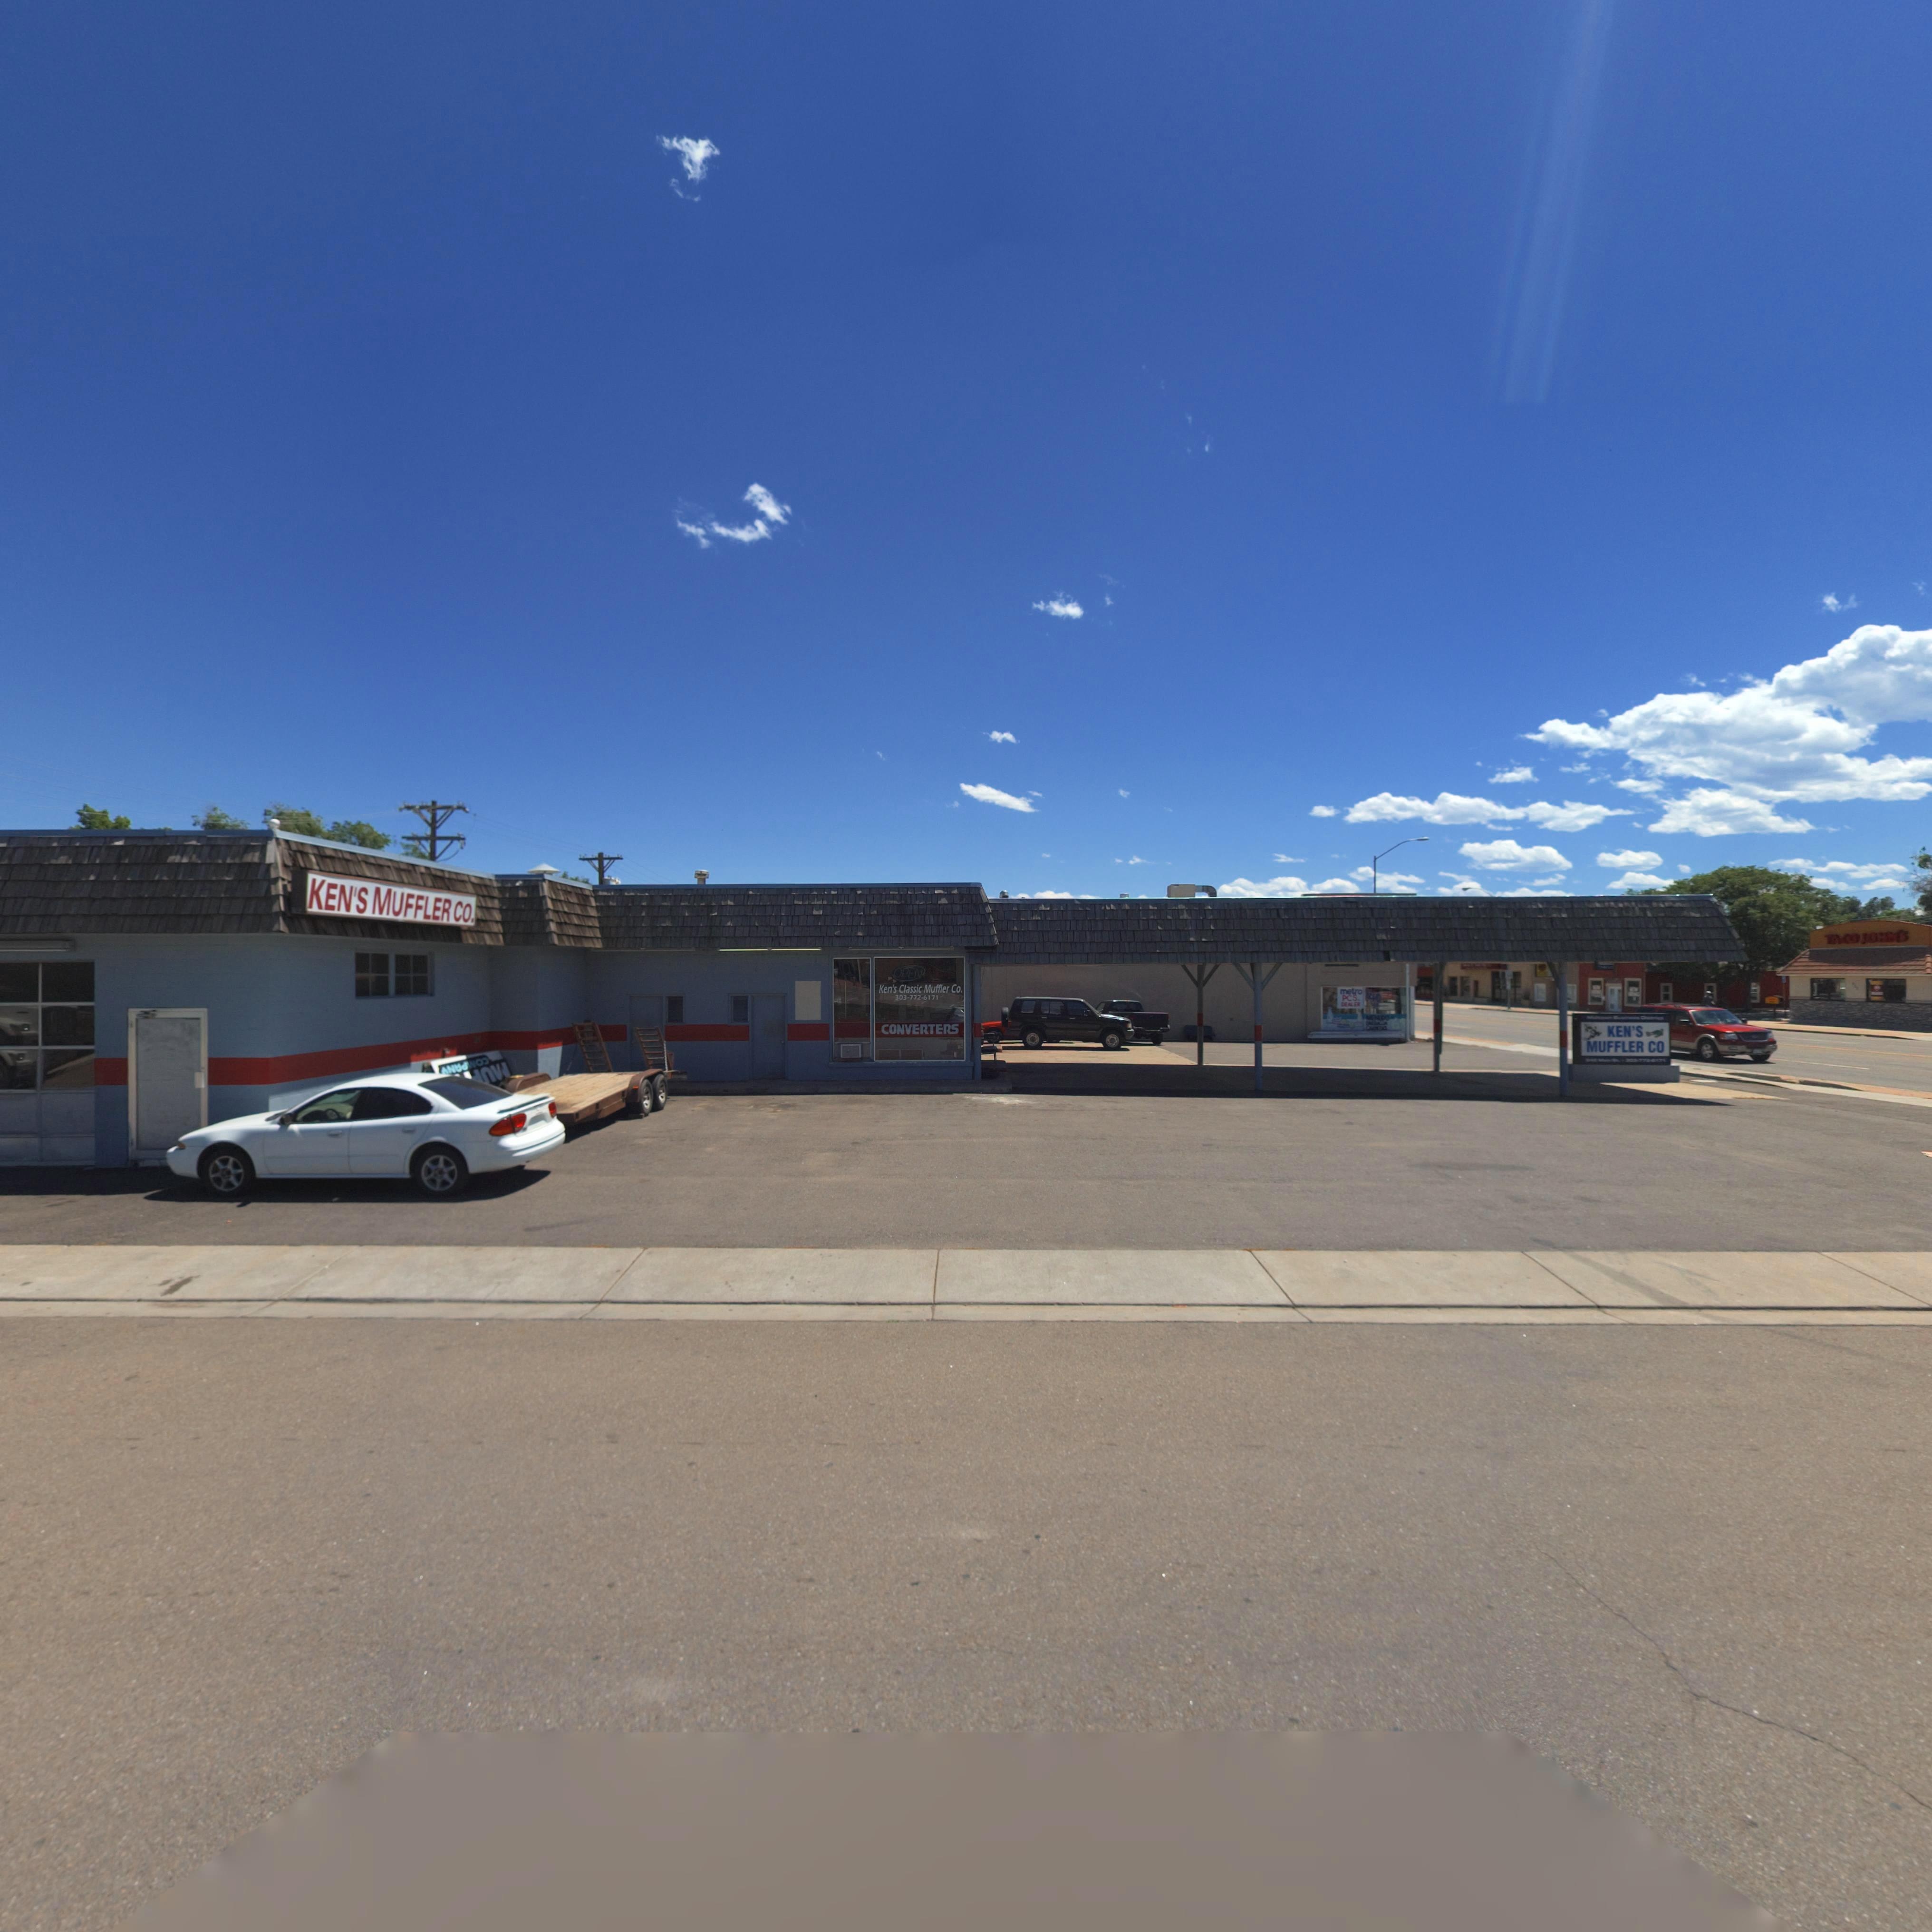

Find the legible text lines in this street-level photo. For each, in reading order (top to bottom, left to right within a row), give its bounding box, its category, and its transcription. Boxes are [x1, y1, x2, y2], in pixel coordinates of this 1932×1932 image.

[307, 877, 476, 924] BusinessName: KEN'S MUFFLER CO.
[1824, 930, 1909, 945] BusinessName: TACO JO**'S
[878, 983, 961, 994] BusinessName: Ken's Classic Muffler Co
[1606, 1025, 1643, 1038] BusinessName: KEN'S
[1586, 1040, 1664, 1053] BusinessName: MUFFLER CO